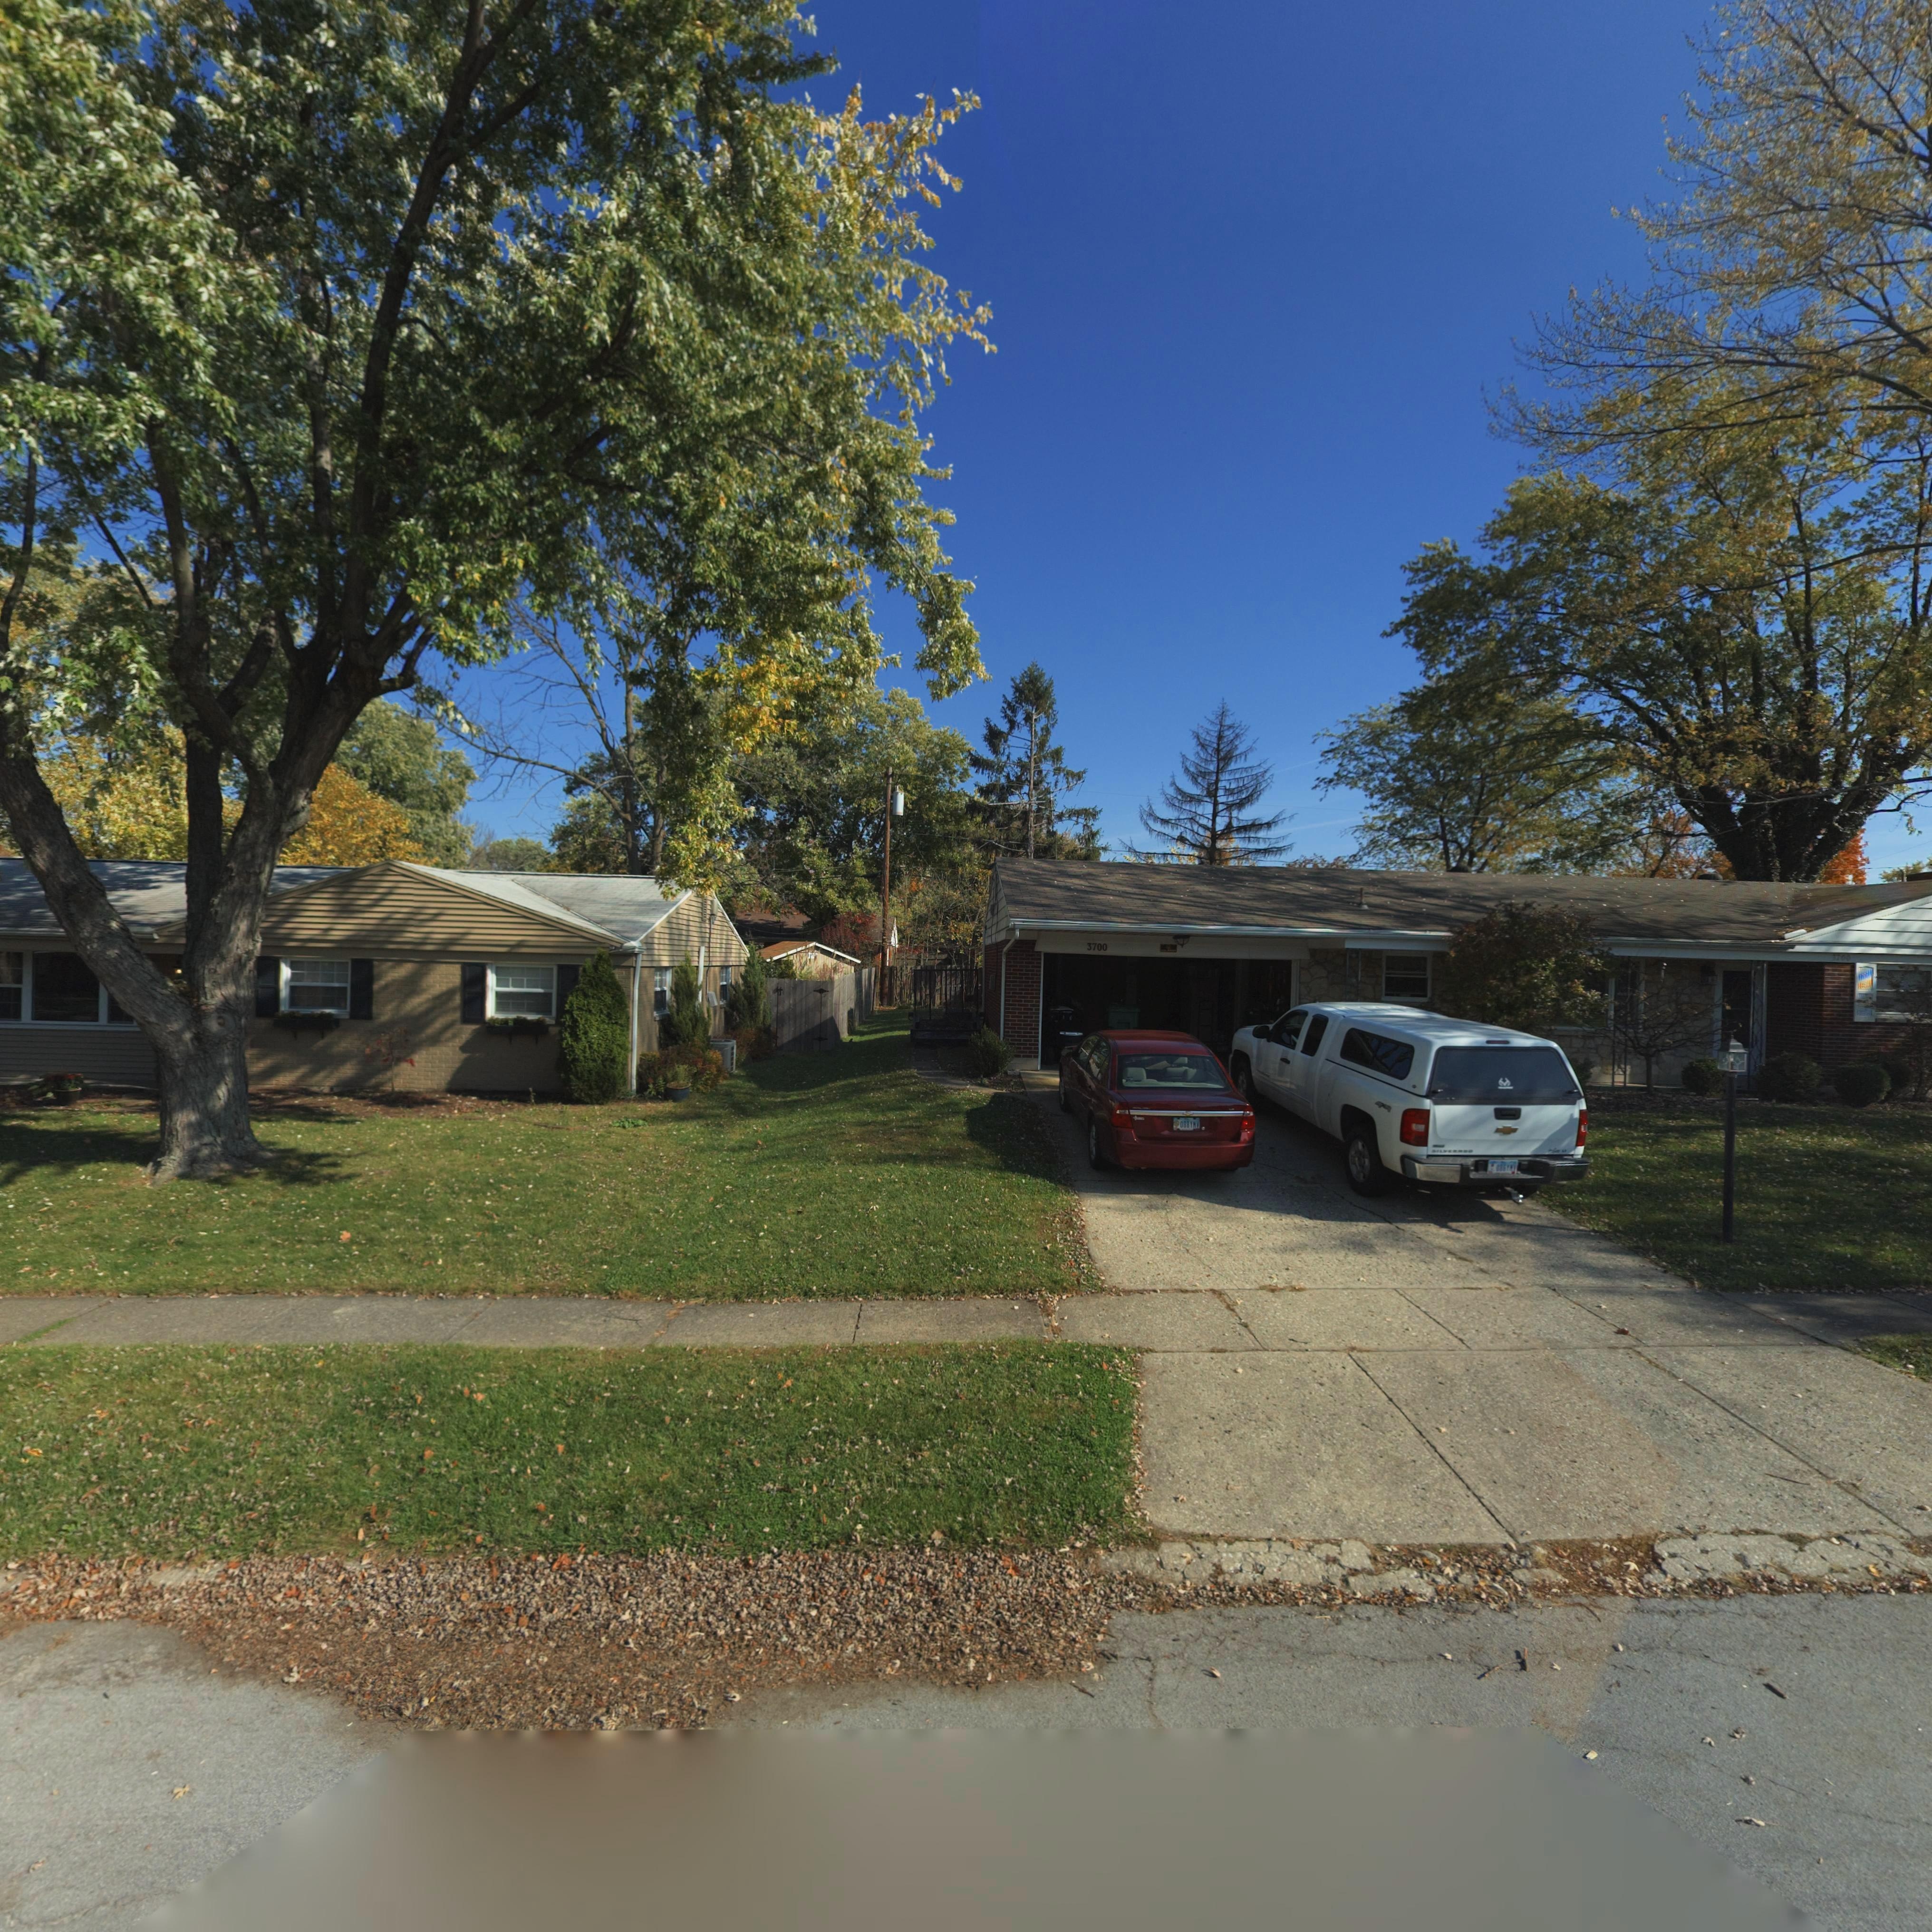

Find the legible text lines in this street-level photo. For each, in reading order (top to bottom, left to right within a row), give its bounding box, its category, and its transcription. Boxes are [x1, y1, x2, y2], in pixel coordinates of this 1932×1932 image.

[1086, 941, 1109, 953] StreetNumber: 3700